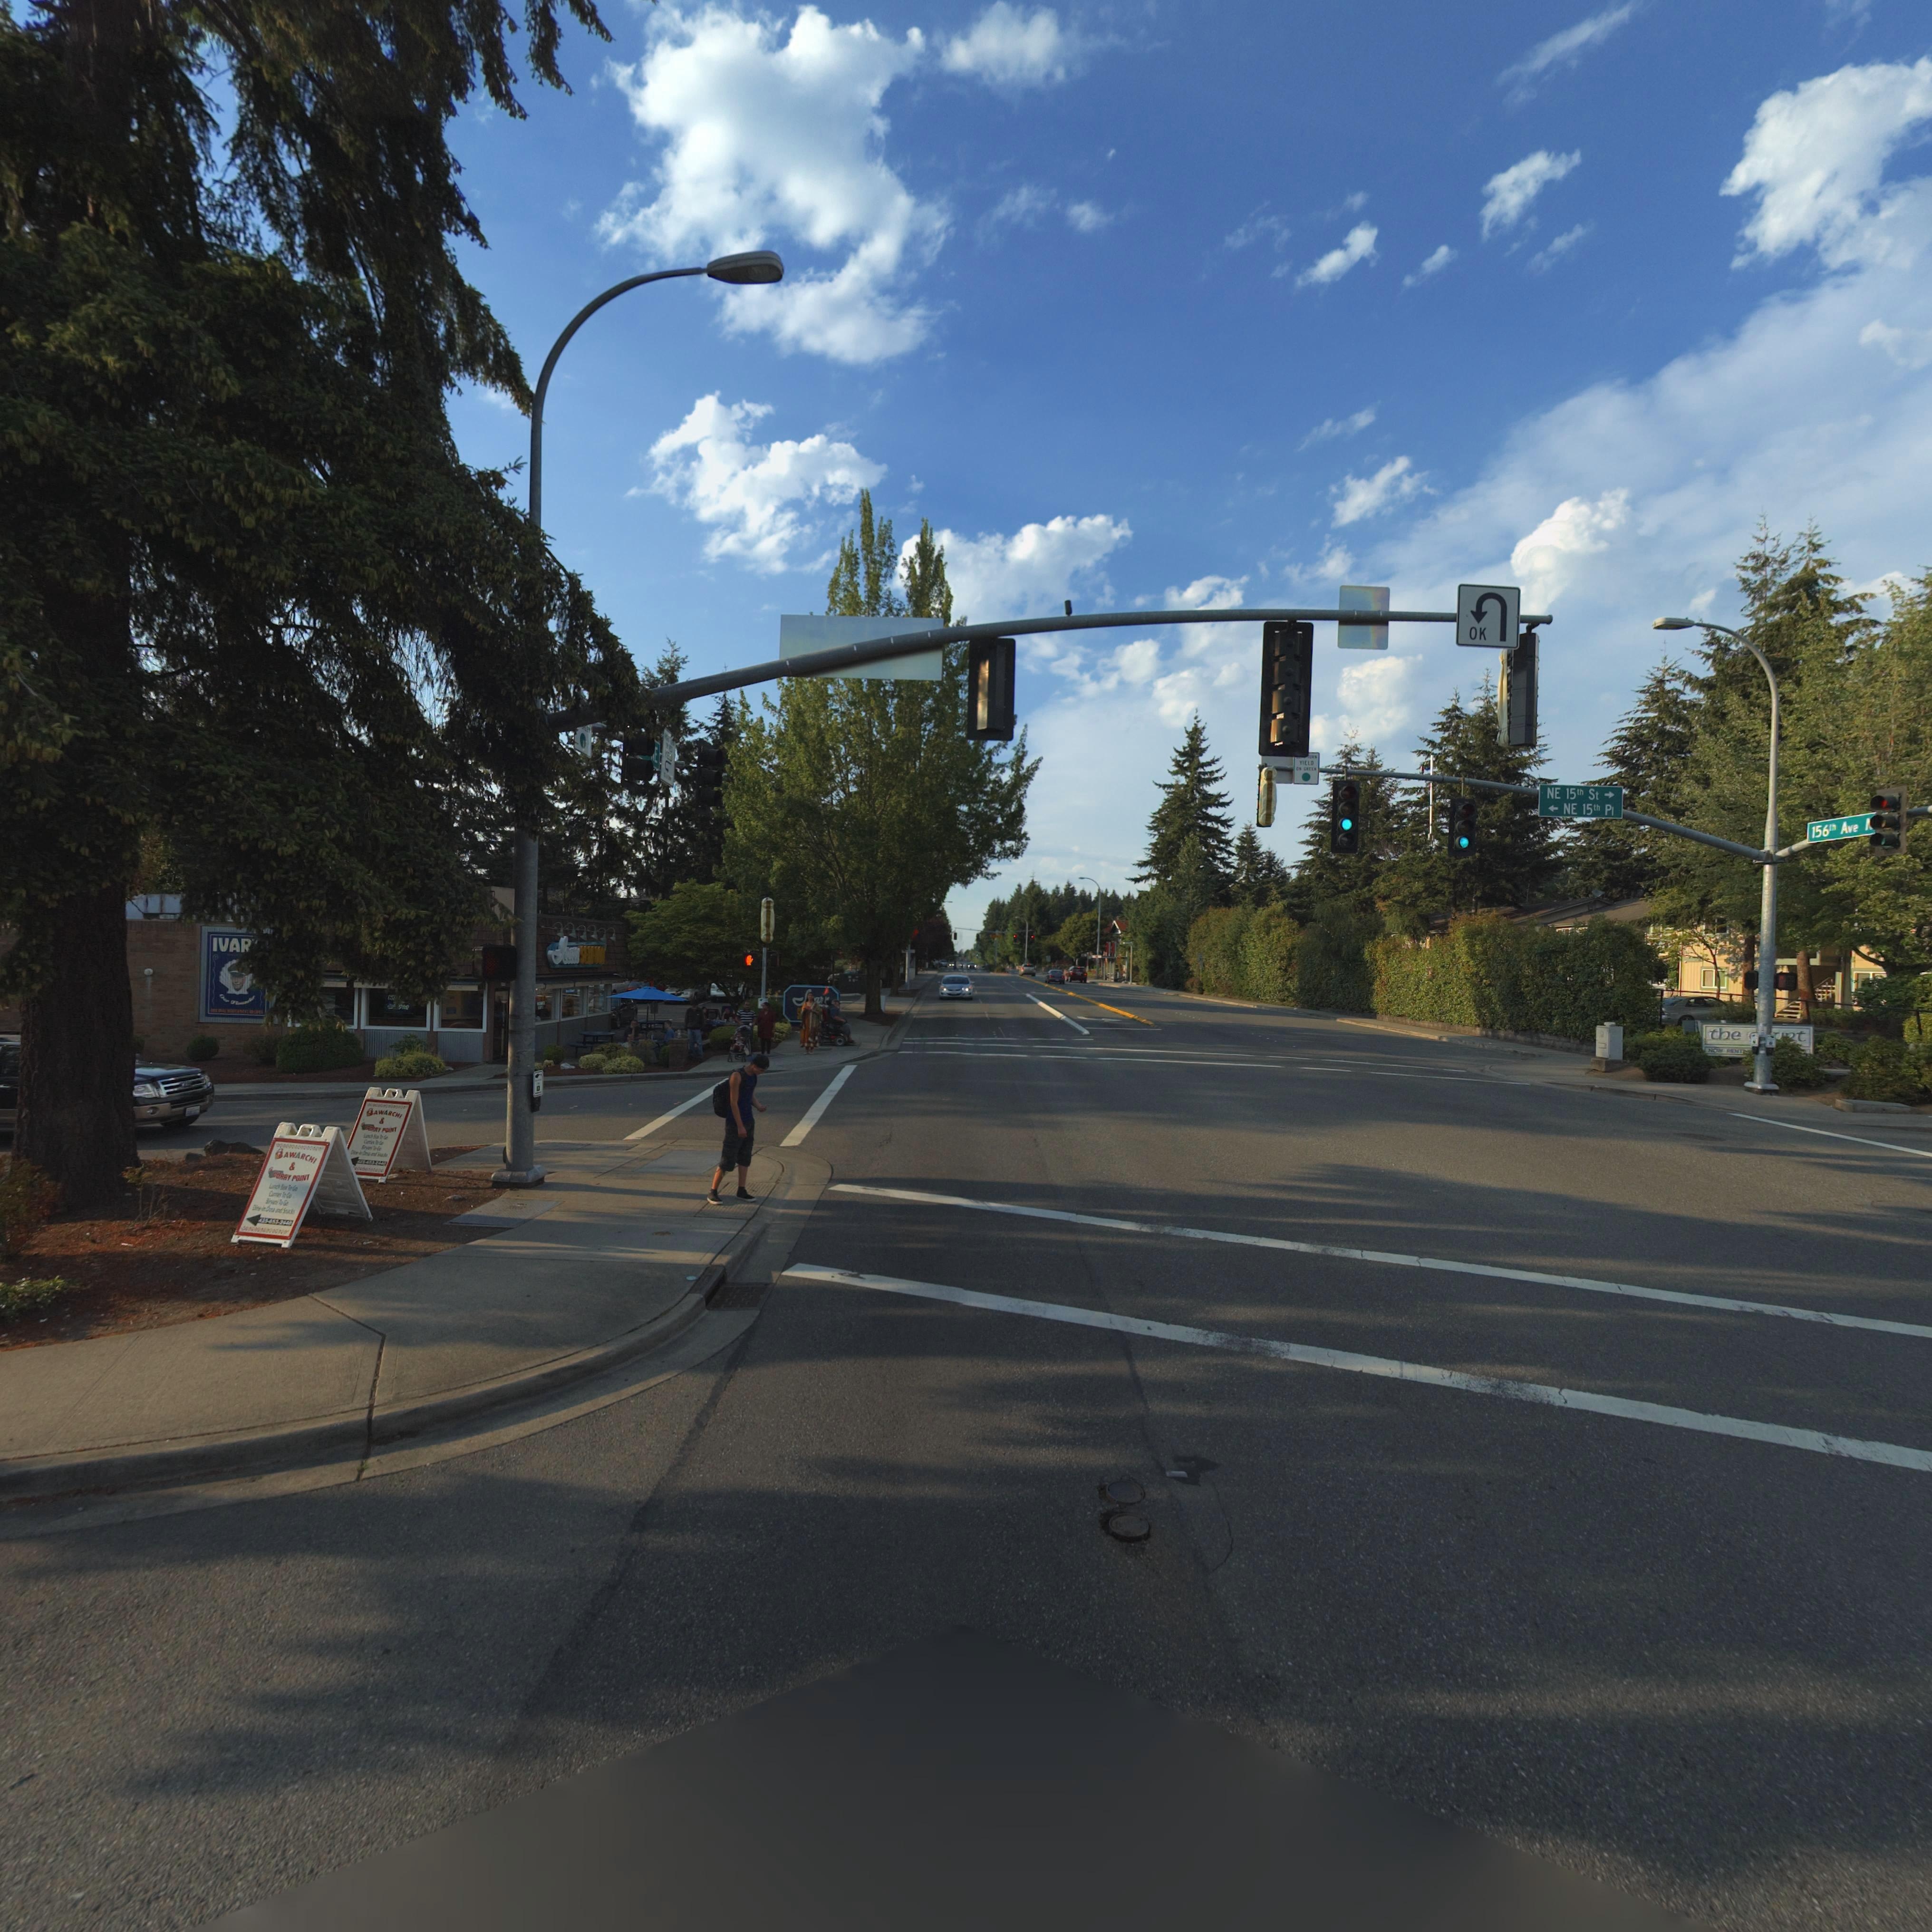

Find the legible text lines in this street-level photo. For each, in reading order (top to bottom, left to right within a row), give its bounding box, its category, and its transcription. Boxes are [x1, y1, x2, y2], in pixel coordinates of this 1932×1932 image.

[1547, 787, 1600, 801] StreetName: NE 15th St
[1563, 802, 1614, 816] StreetName: NE 15th Pl
[1811, 820, 1859, 838] StreetName: 156** Ave
[212, 937, 241, 952] BusinessName: IVA